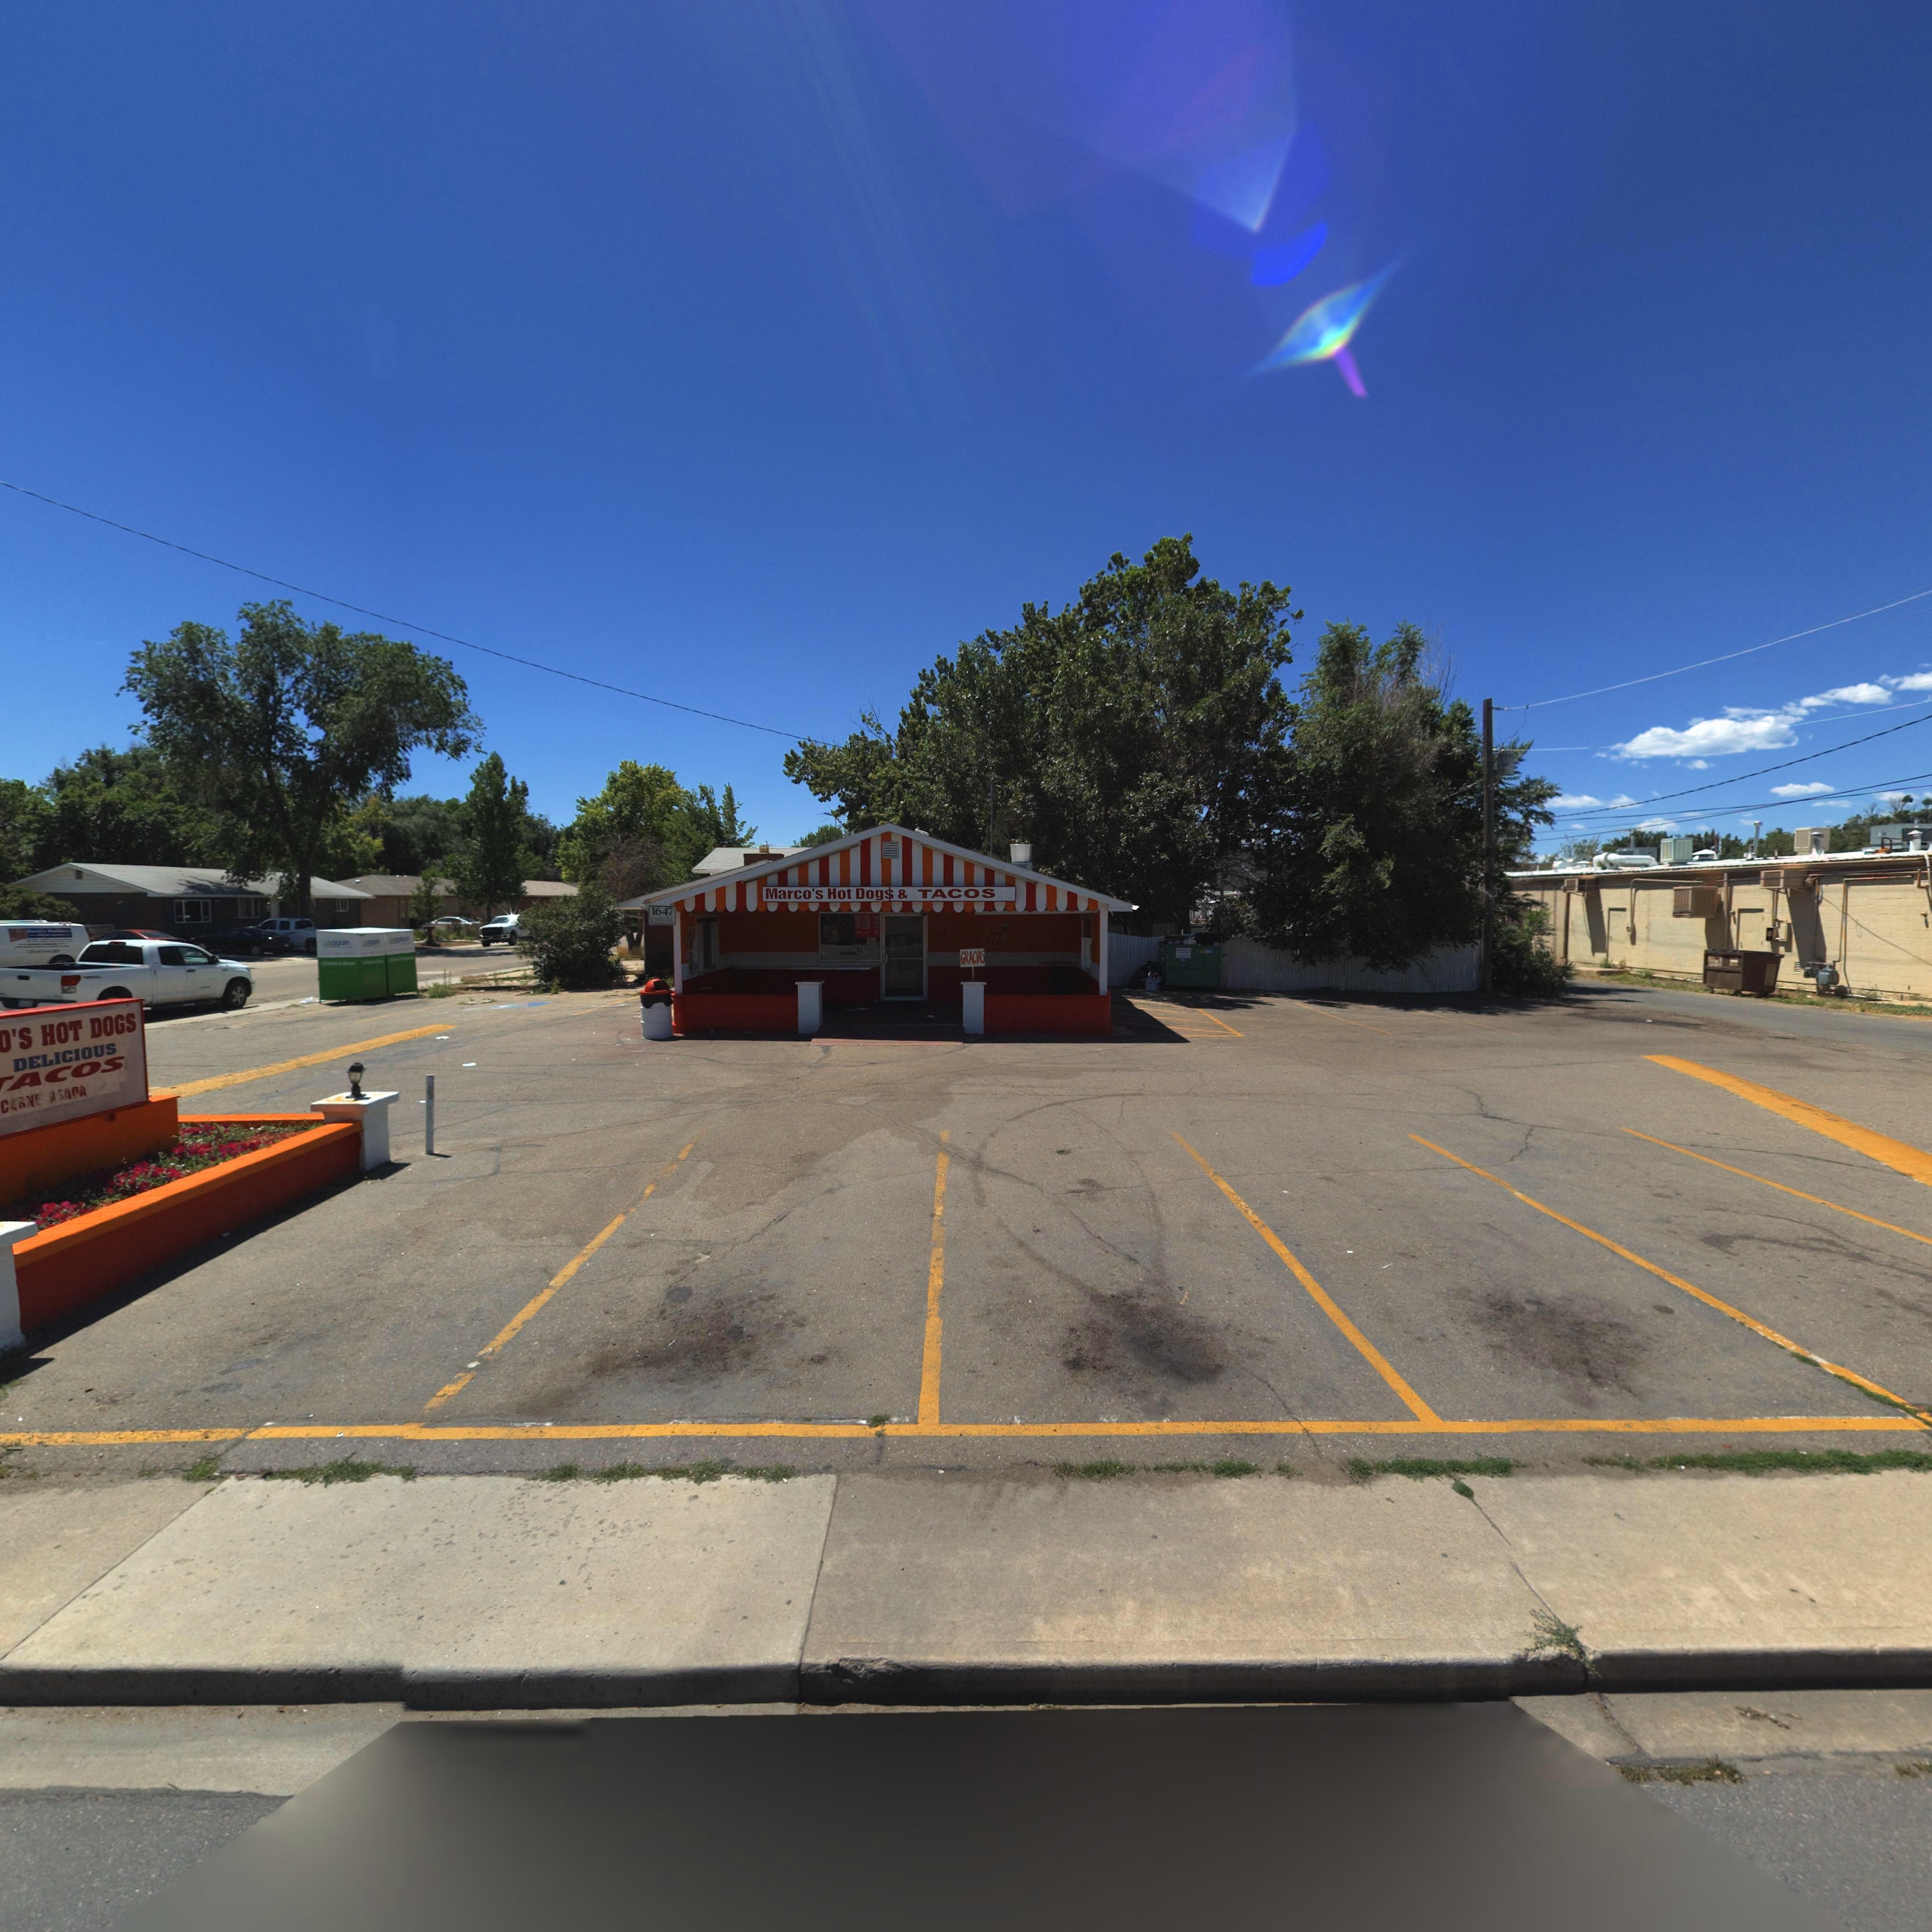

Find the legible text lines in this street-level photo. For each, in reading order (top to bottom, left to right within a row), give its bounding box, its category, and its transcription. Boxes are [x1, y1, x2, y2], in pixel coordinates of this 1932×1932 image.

[765, 888, 995, 900] BusinessName: Marco's Hot Dogs & TACOS
[650, 916, 674, 924] StreetName: KIMBARK
[651, 907, 673, 916] StreetNumber: 1647
[10, 1012, 136, 1051] BusinessName: 'S HOT DOGS
[12, 1042, 117, 1073] BusinessName: DELICIOUS
[6, 1055, 125, 1093] BusinessName: ACOS